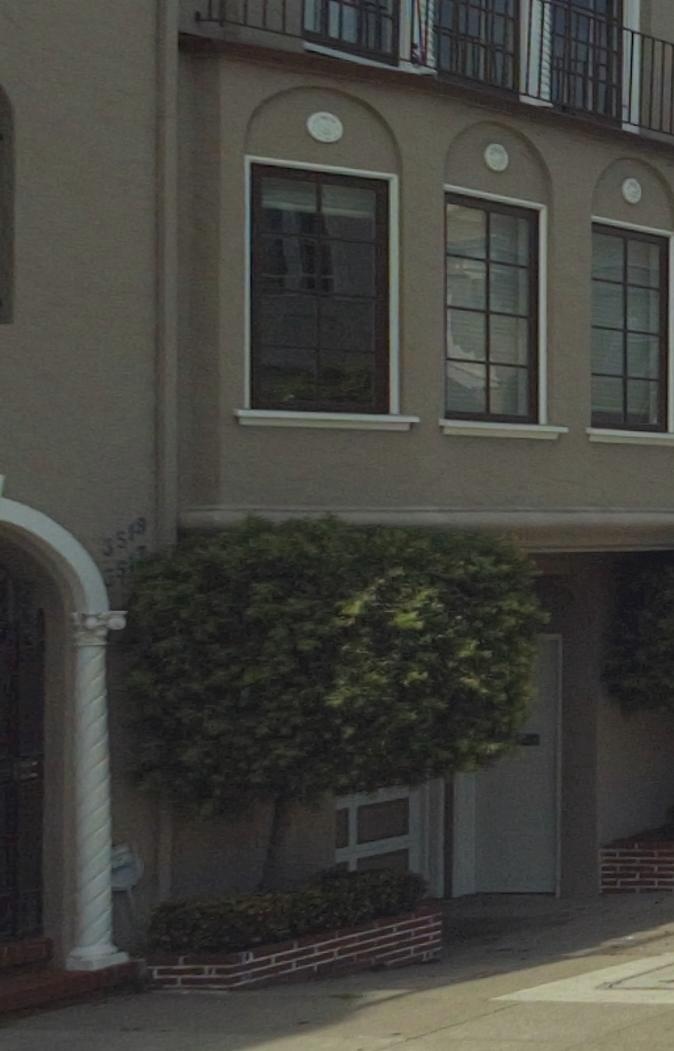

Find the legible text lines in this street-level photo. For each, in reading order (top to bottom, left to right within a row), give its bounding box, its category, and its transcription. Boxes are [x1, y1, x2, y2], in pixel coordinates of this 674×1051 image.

[100, 513, 149, 560] StreetNumber: 351*
[114, 558, 130, 584] StreetNumber: 5